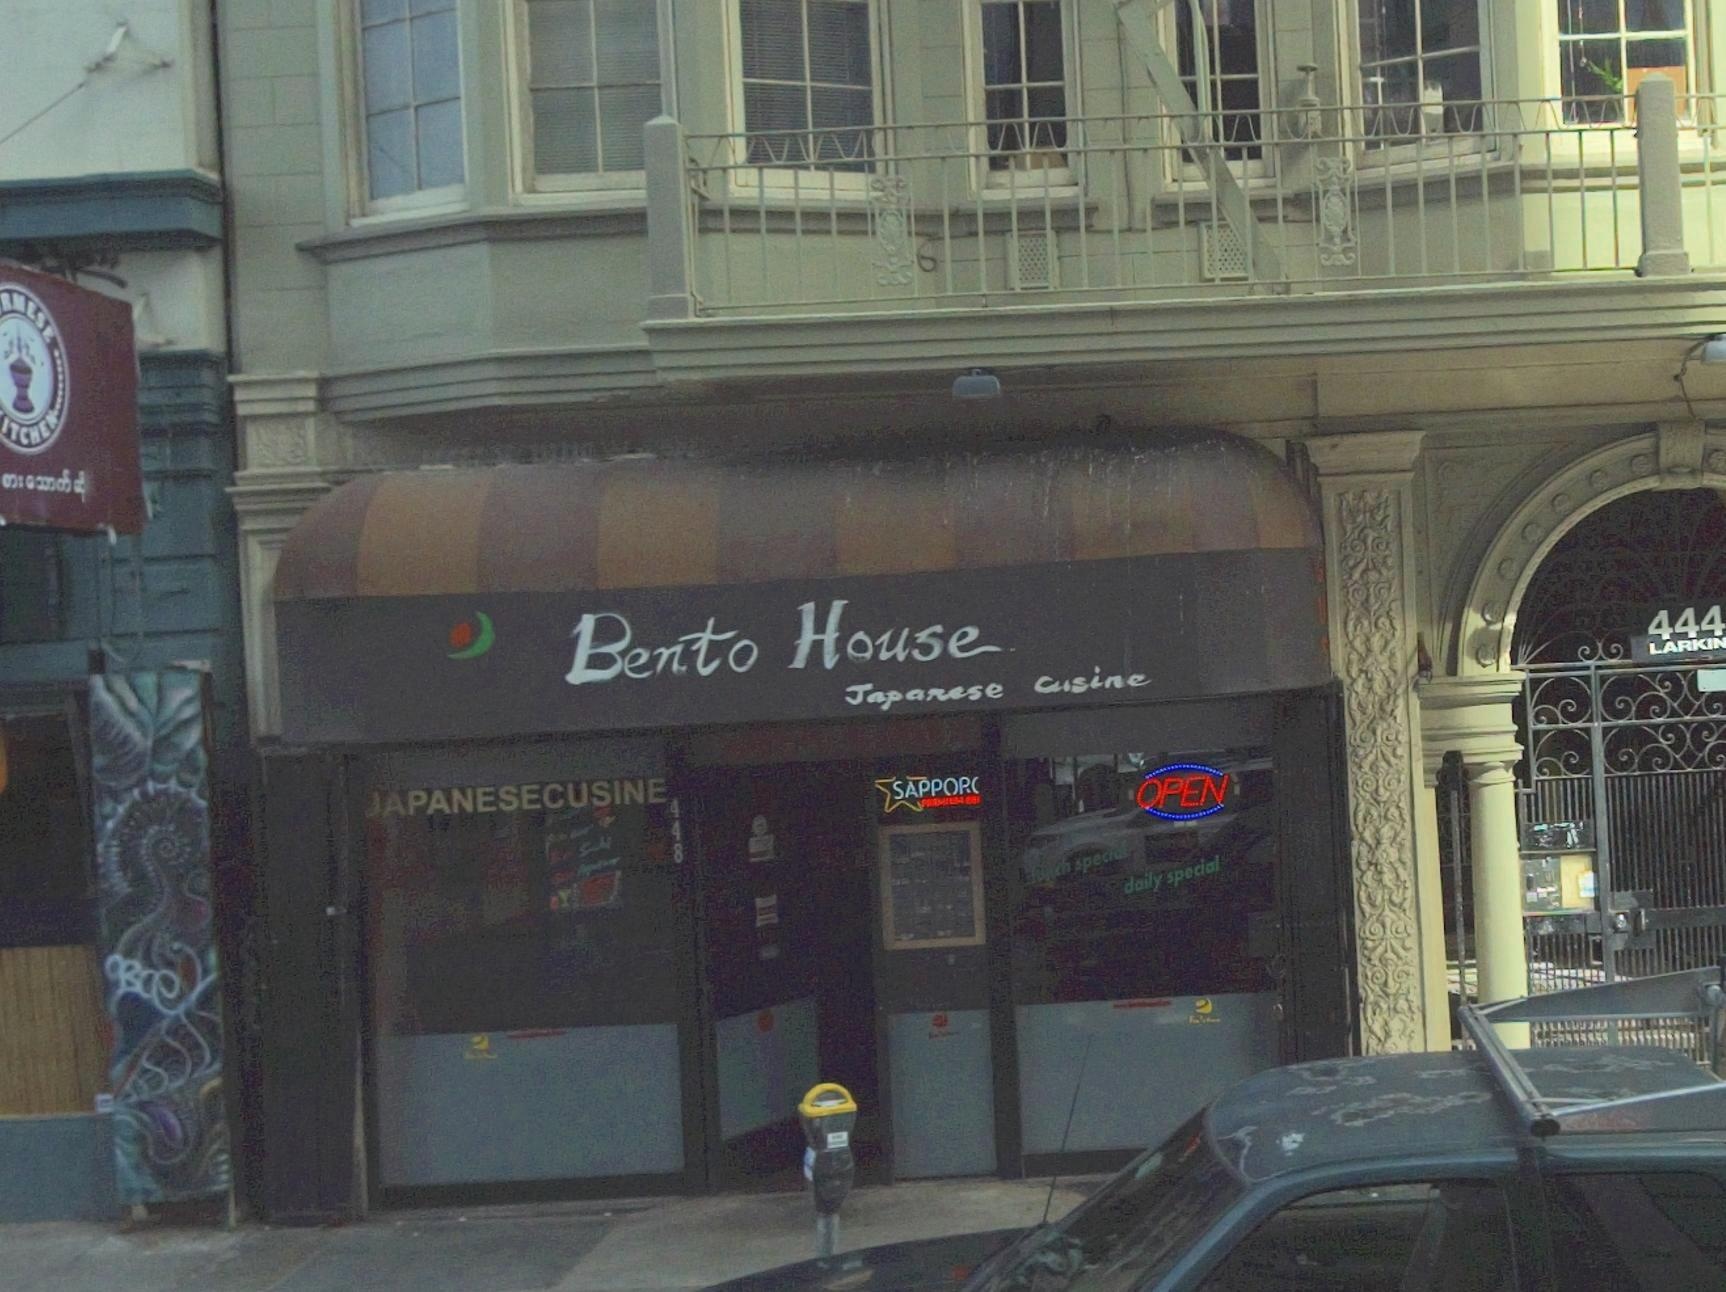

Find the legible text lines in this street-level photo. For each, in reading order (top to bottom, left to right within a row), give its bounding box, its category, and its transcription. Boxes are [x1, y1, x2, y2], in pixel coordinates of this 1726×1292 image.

[0, 290, 58, 346] BusinessName: RMESE
[1, 407, 61, 449] BusinessName: ITCHEN
[561, 597, 1006, 690] BusinessName: Bento House
[1647, 635, 1716, 658] StreetName: LARKI
[1645, 602, 1725, 642] StreetNumber: 444
[839, 660, 1158, 715] None: Japanese Cusine
[360, 774, 671, 824] None: *APANESECUSINE
[889, 774, 974, 802] None: SAPPOR
[1134, 770, 1233, 813] None: OPEN
[666, 793, 687, 867] None: 448
[1073, 834, 1131, 878] None: specia*
[1119, 851, 1222, 899] None: daily special